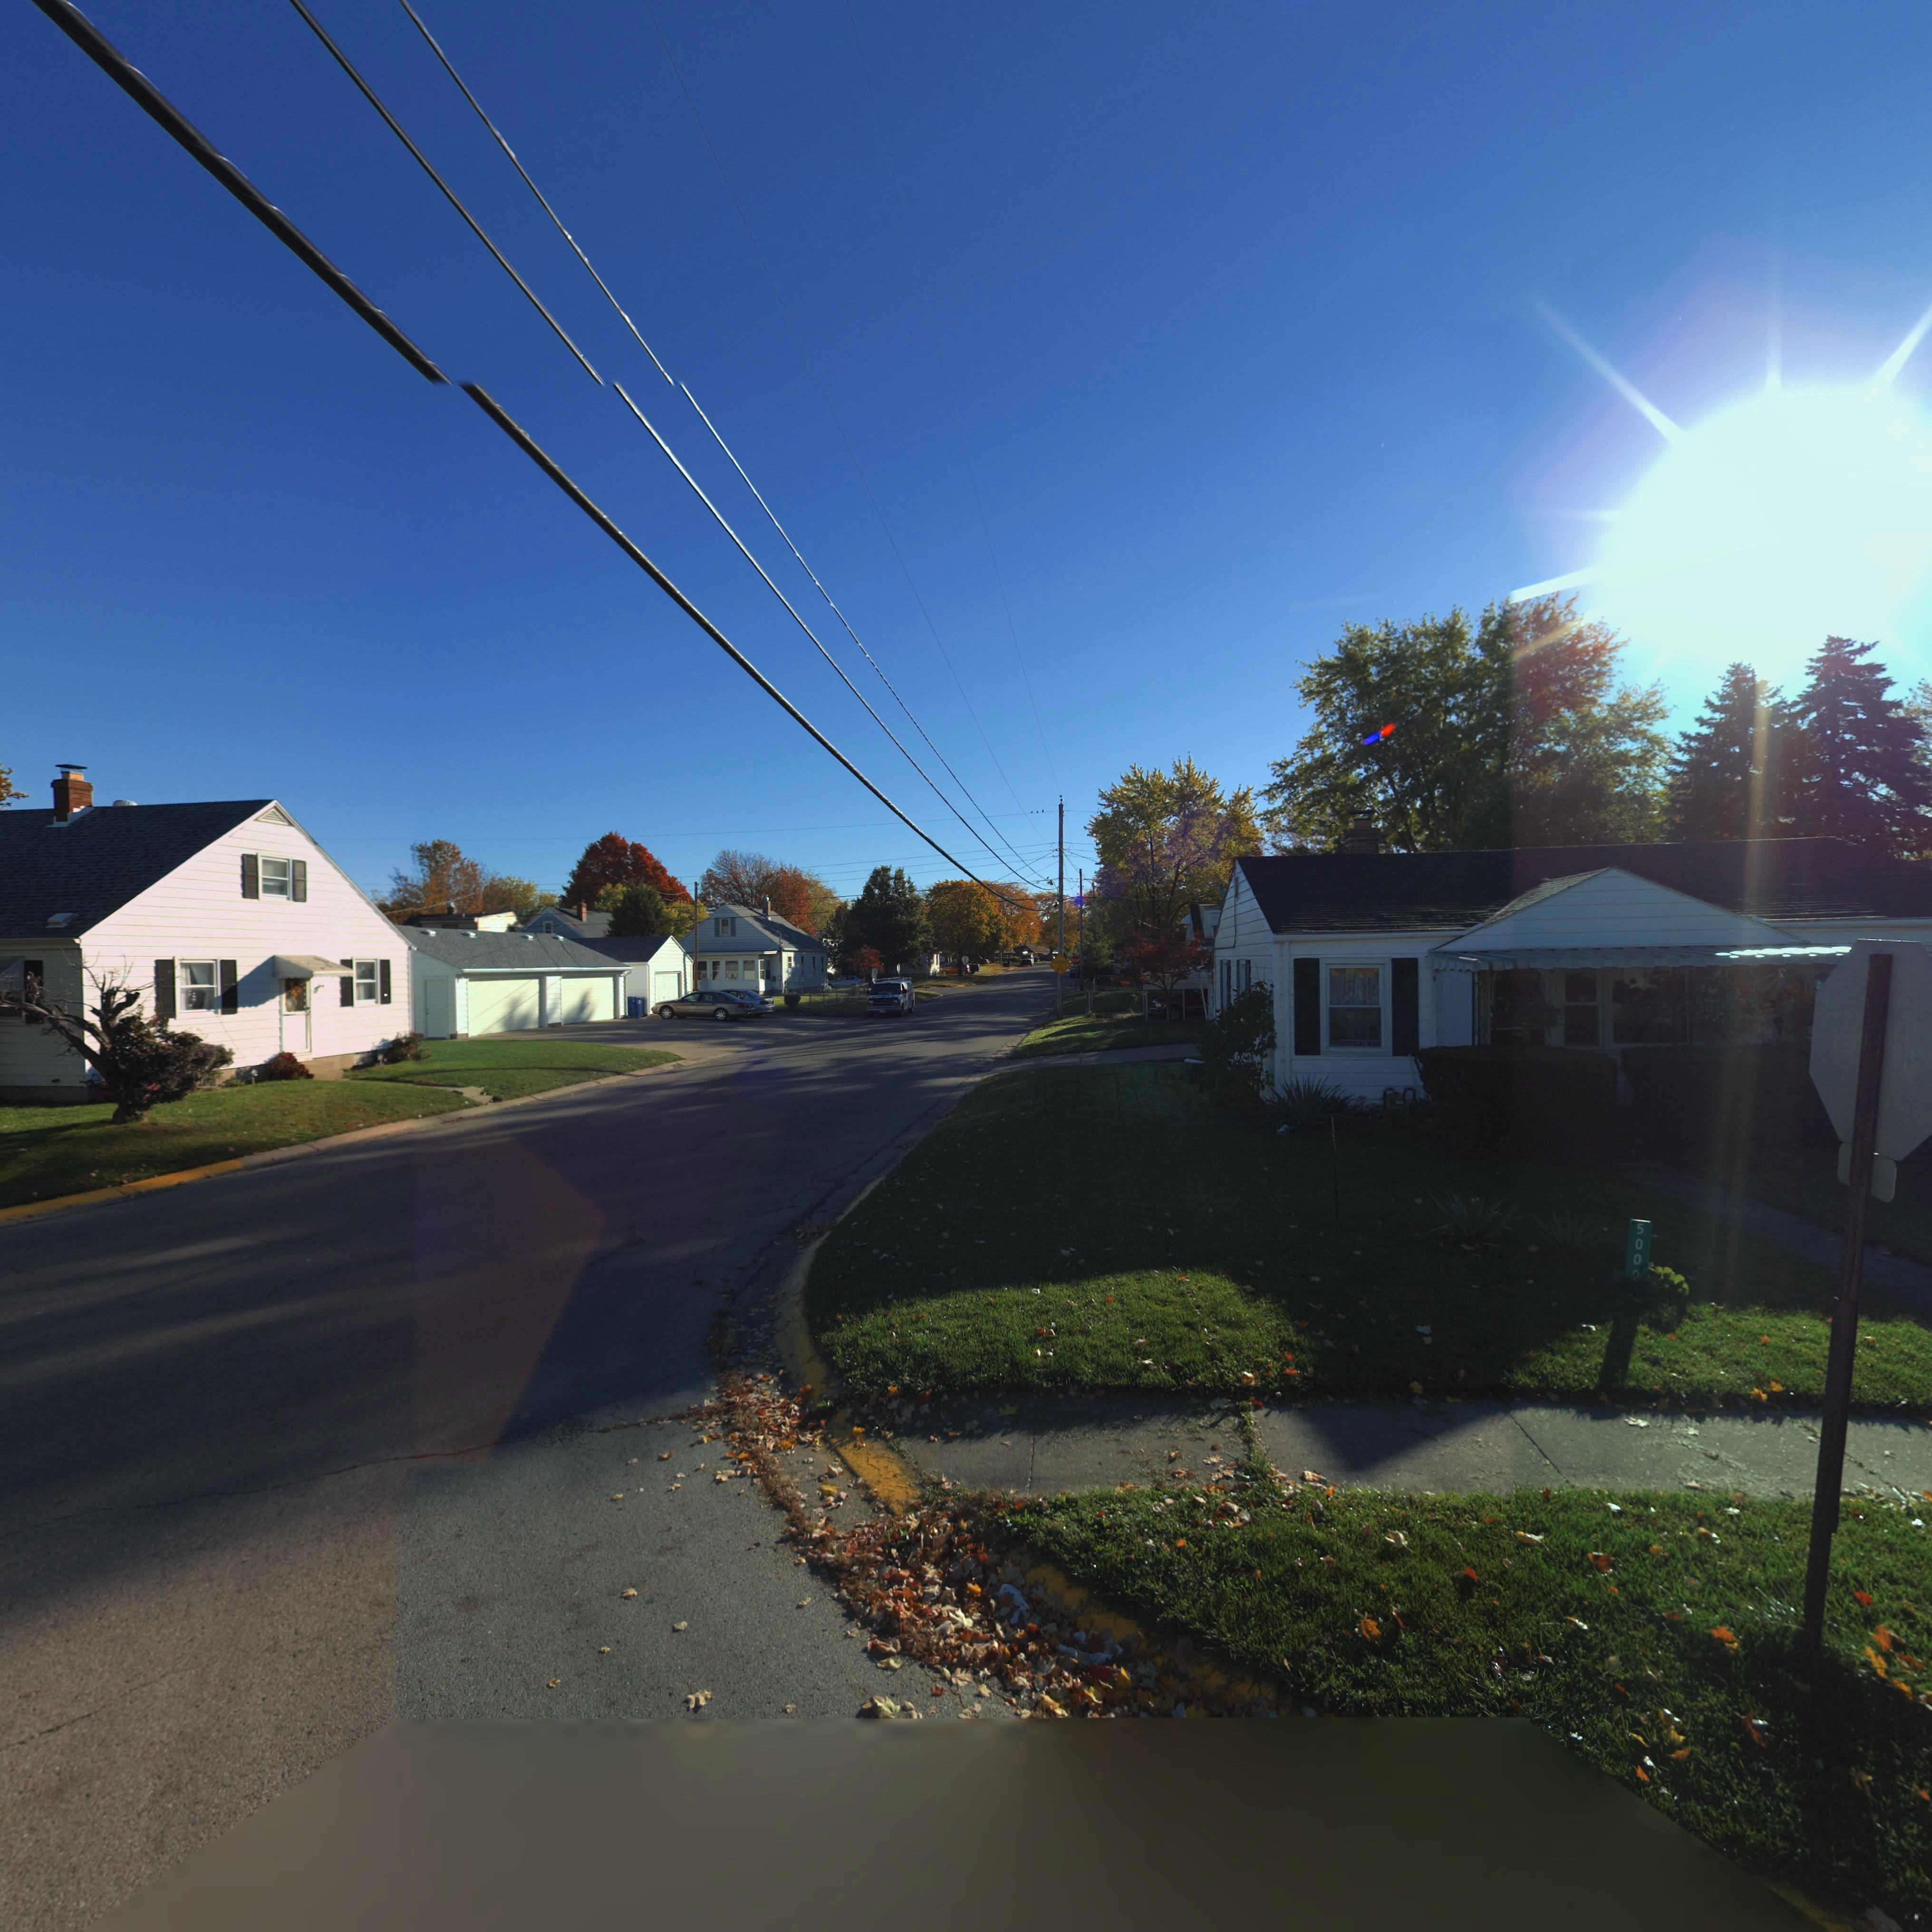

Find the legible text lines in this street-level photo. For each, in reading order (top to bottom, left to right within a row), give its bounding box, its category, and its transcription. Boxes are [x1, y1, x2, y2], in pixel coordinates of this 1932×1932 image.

[1630, 1222, 1645, 1283] StreetNumber: 500*